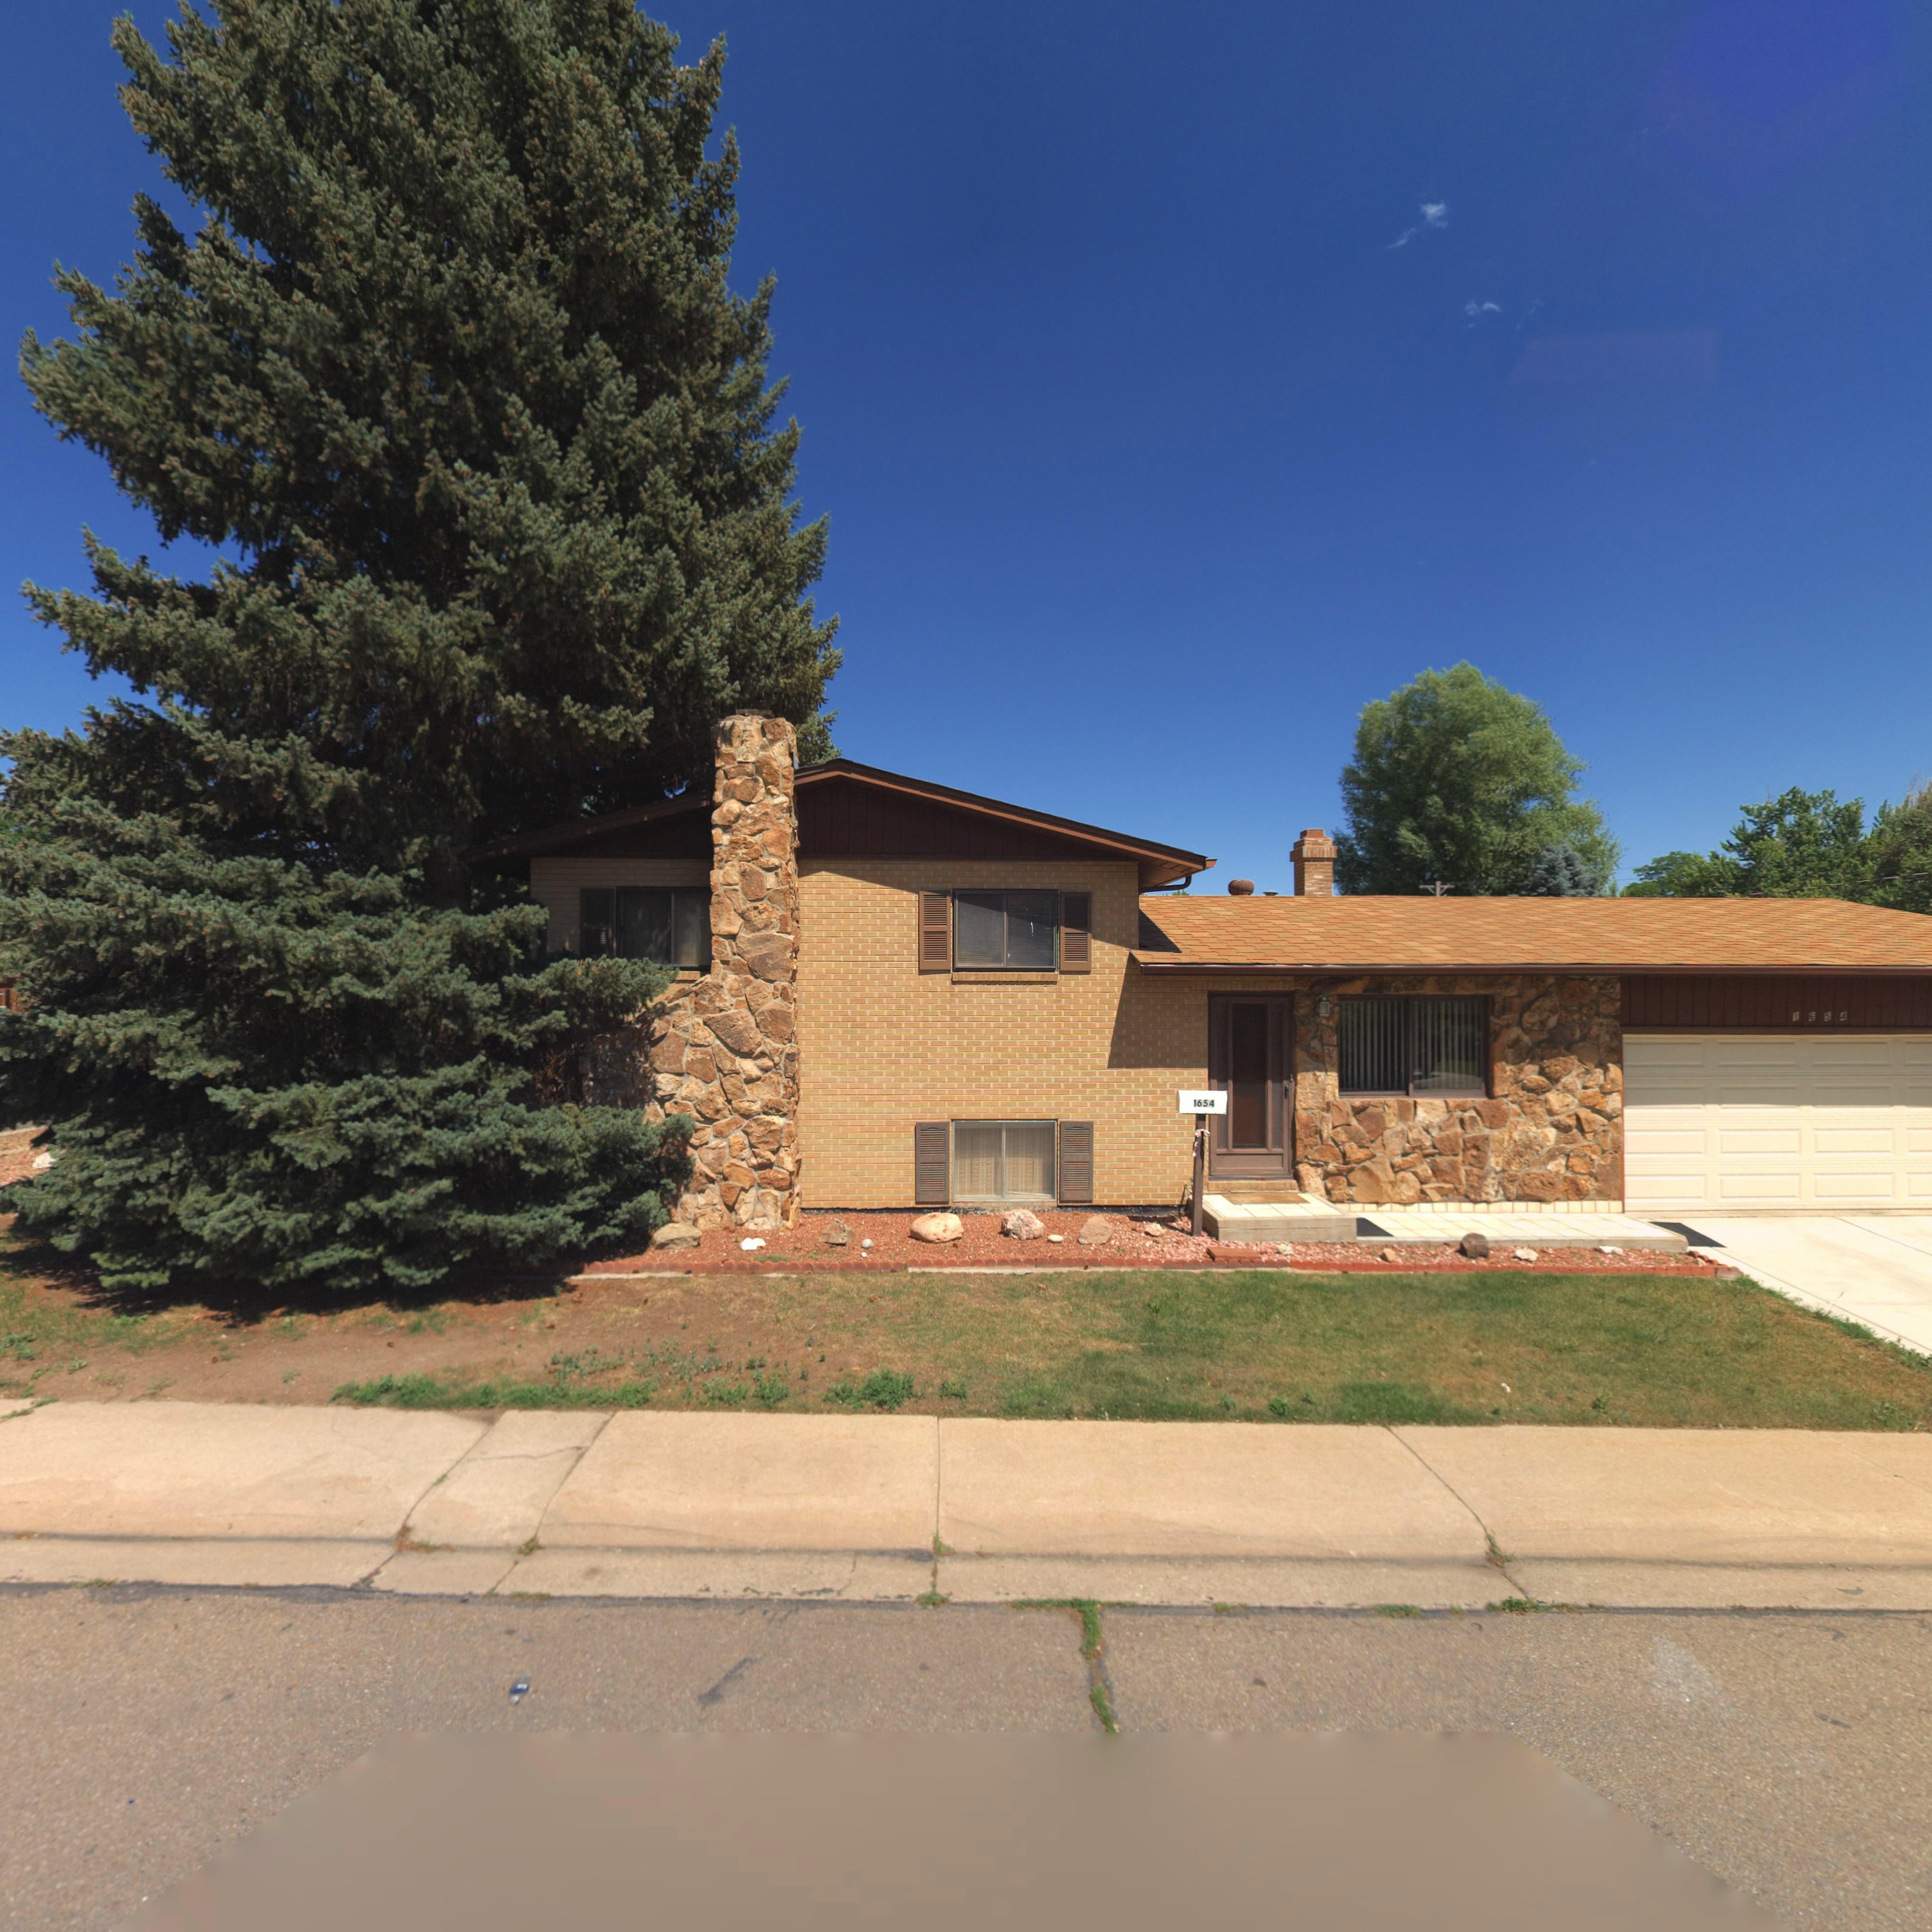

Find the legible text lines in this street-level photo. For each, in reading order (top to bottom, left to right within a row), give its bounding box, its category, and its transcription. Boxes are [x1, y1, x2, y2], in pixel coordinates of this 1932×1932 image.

[1792, 1011, 1847, 1022] StreetNumber: 1654
[1193, 1099, 1216, 1107] StreetNumber: 1654